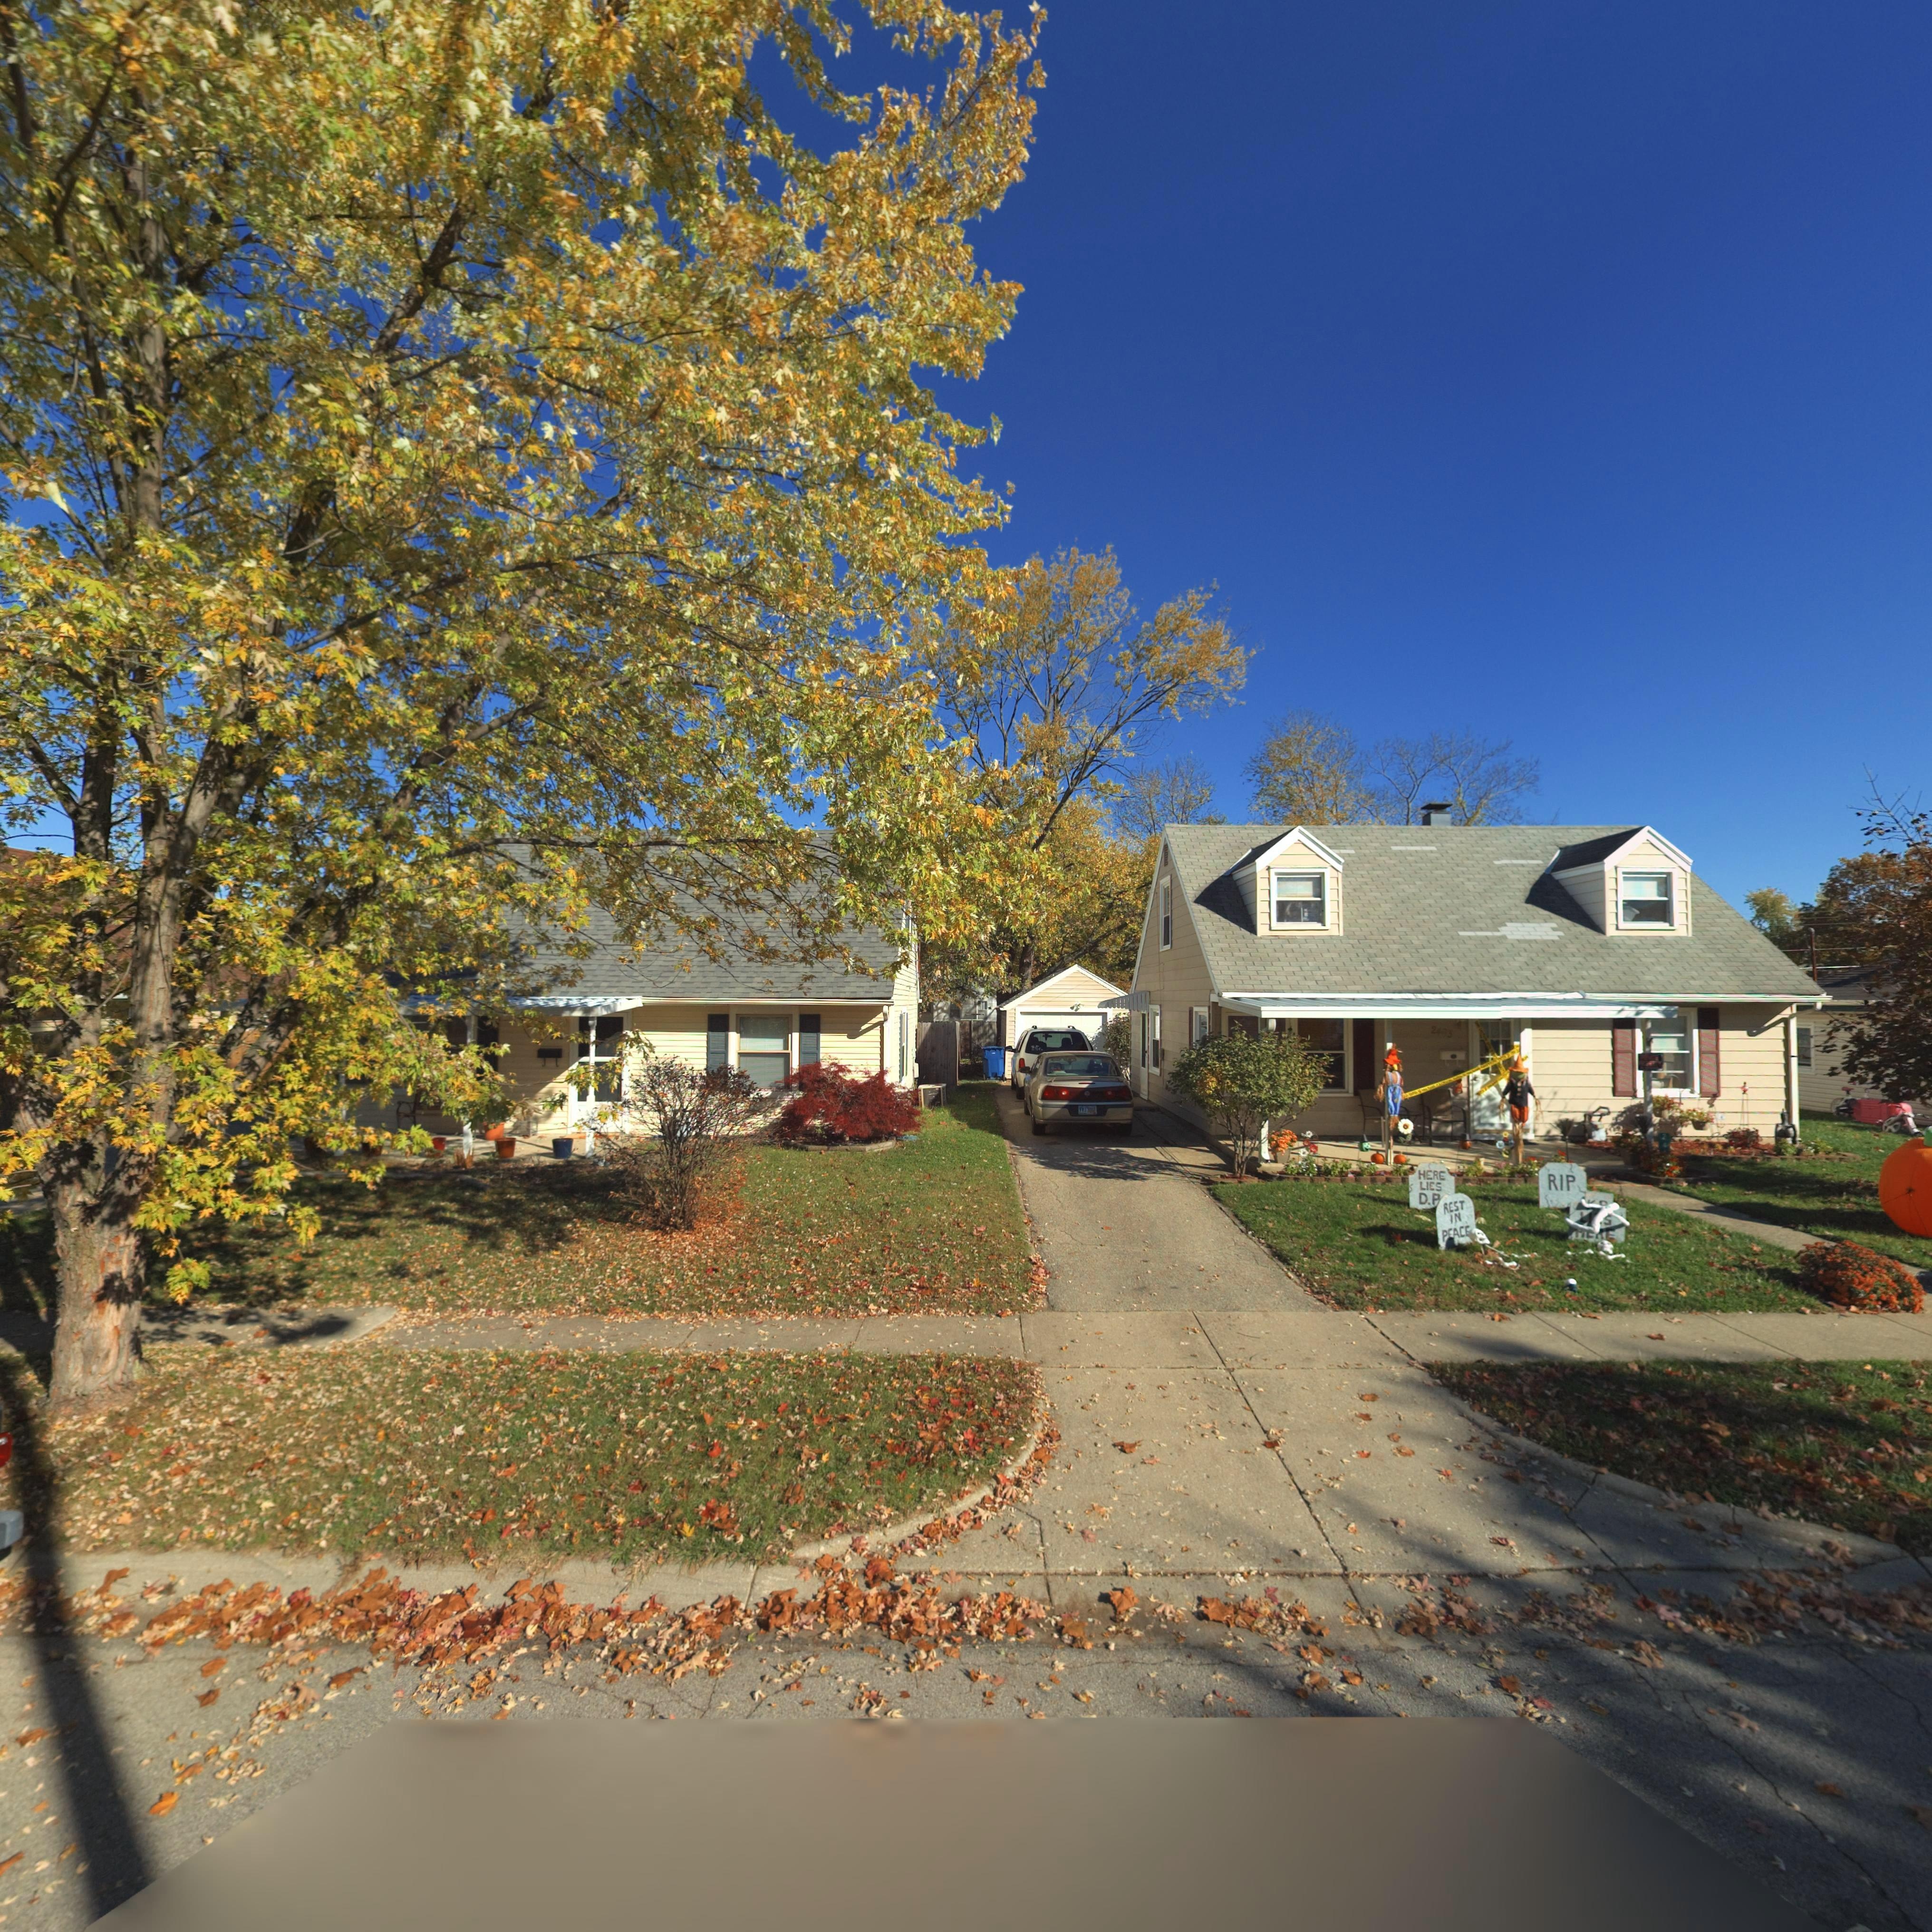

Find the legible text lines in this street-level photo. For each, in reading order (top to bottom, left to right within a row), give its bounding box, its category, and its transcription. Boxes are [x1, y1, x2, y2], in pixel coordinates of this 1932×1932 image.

[1430, 1025, 1453, 1039] StreetNumber: 24*3